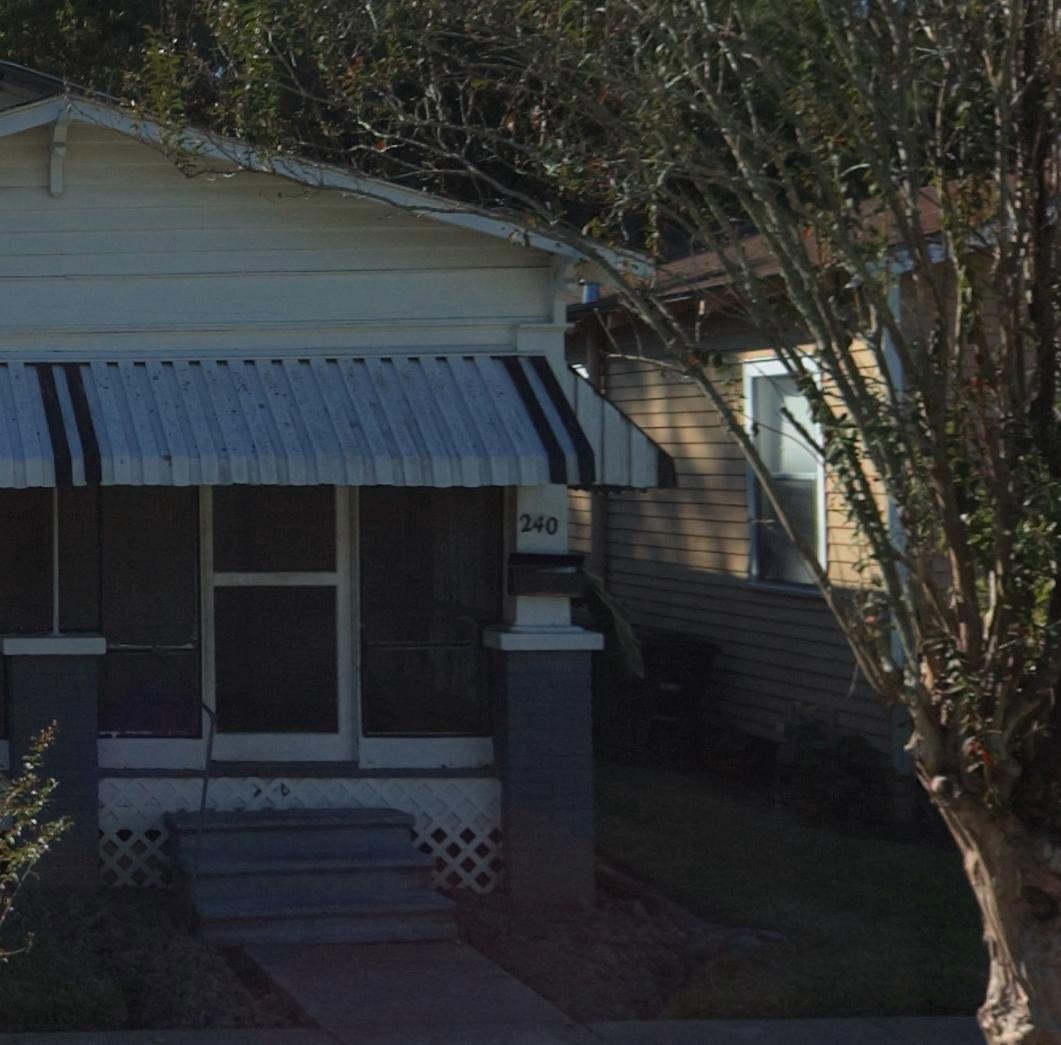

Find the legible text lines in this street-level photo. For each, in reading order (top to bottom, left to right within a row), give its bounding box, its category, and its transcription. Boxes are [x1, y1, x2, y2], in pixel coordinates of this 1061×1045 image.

[518, 512, 560, 536] StreetNumber: 240